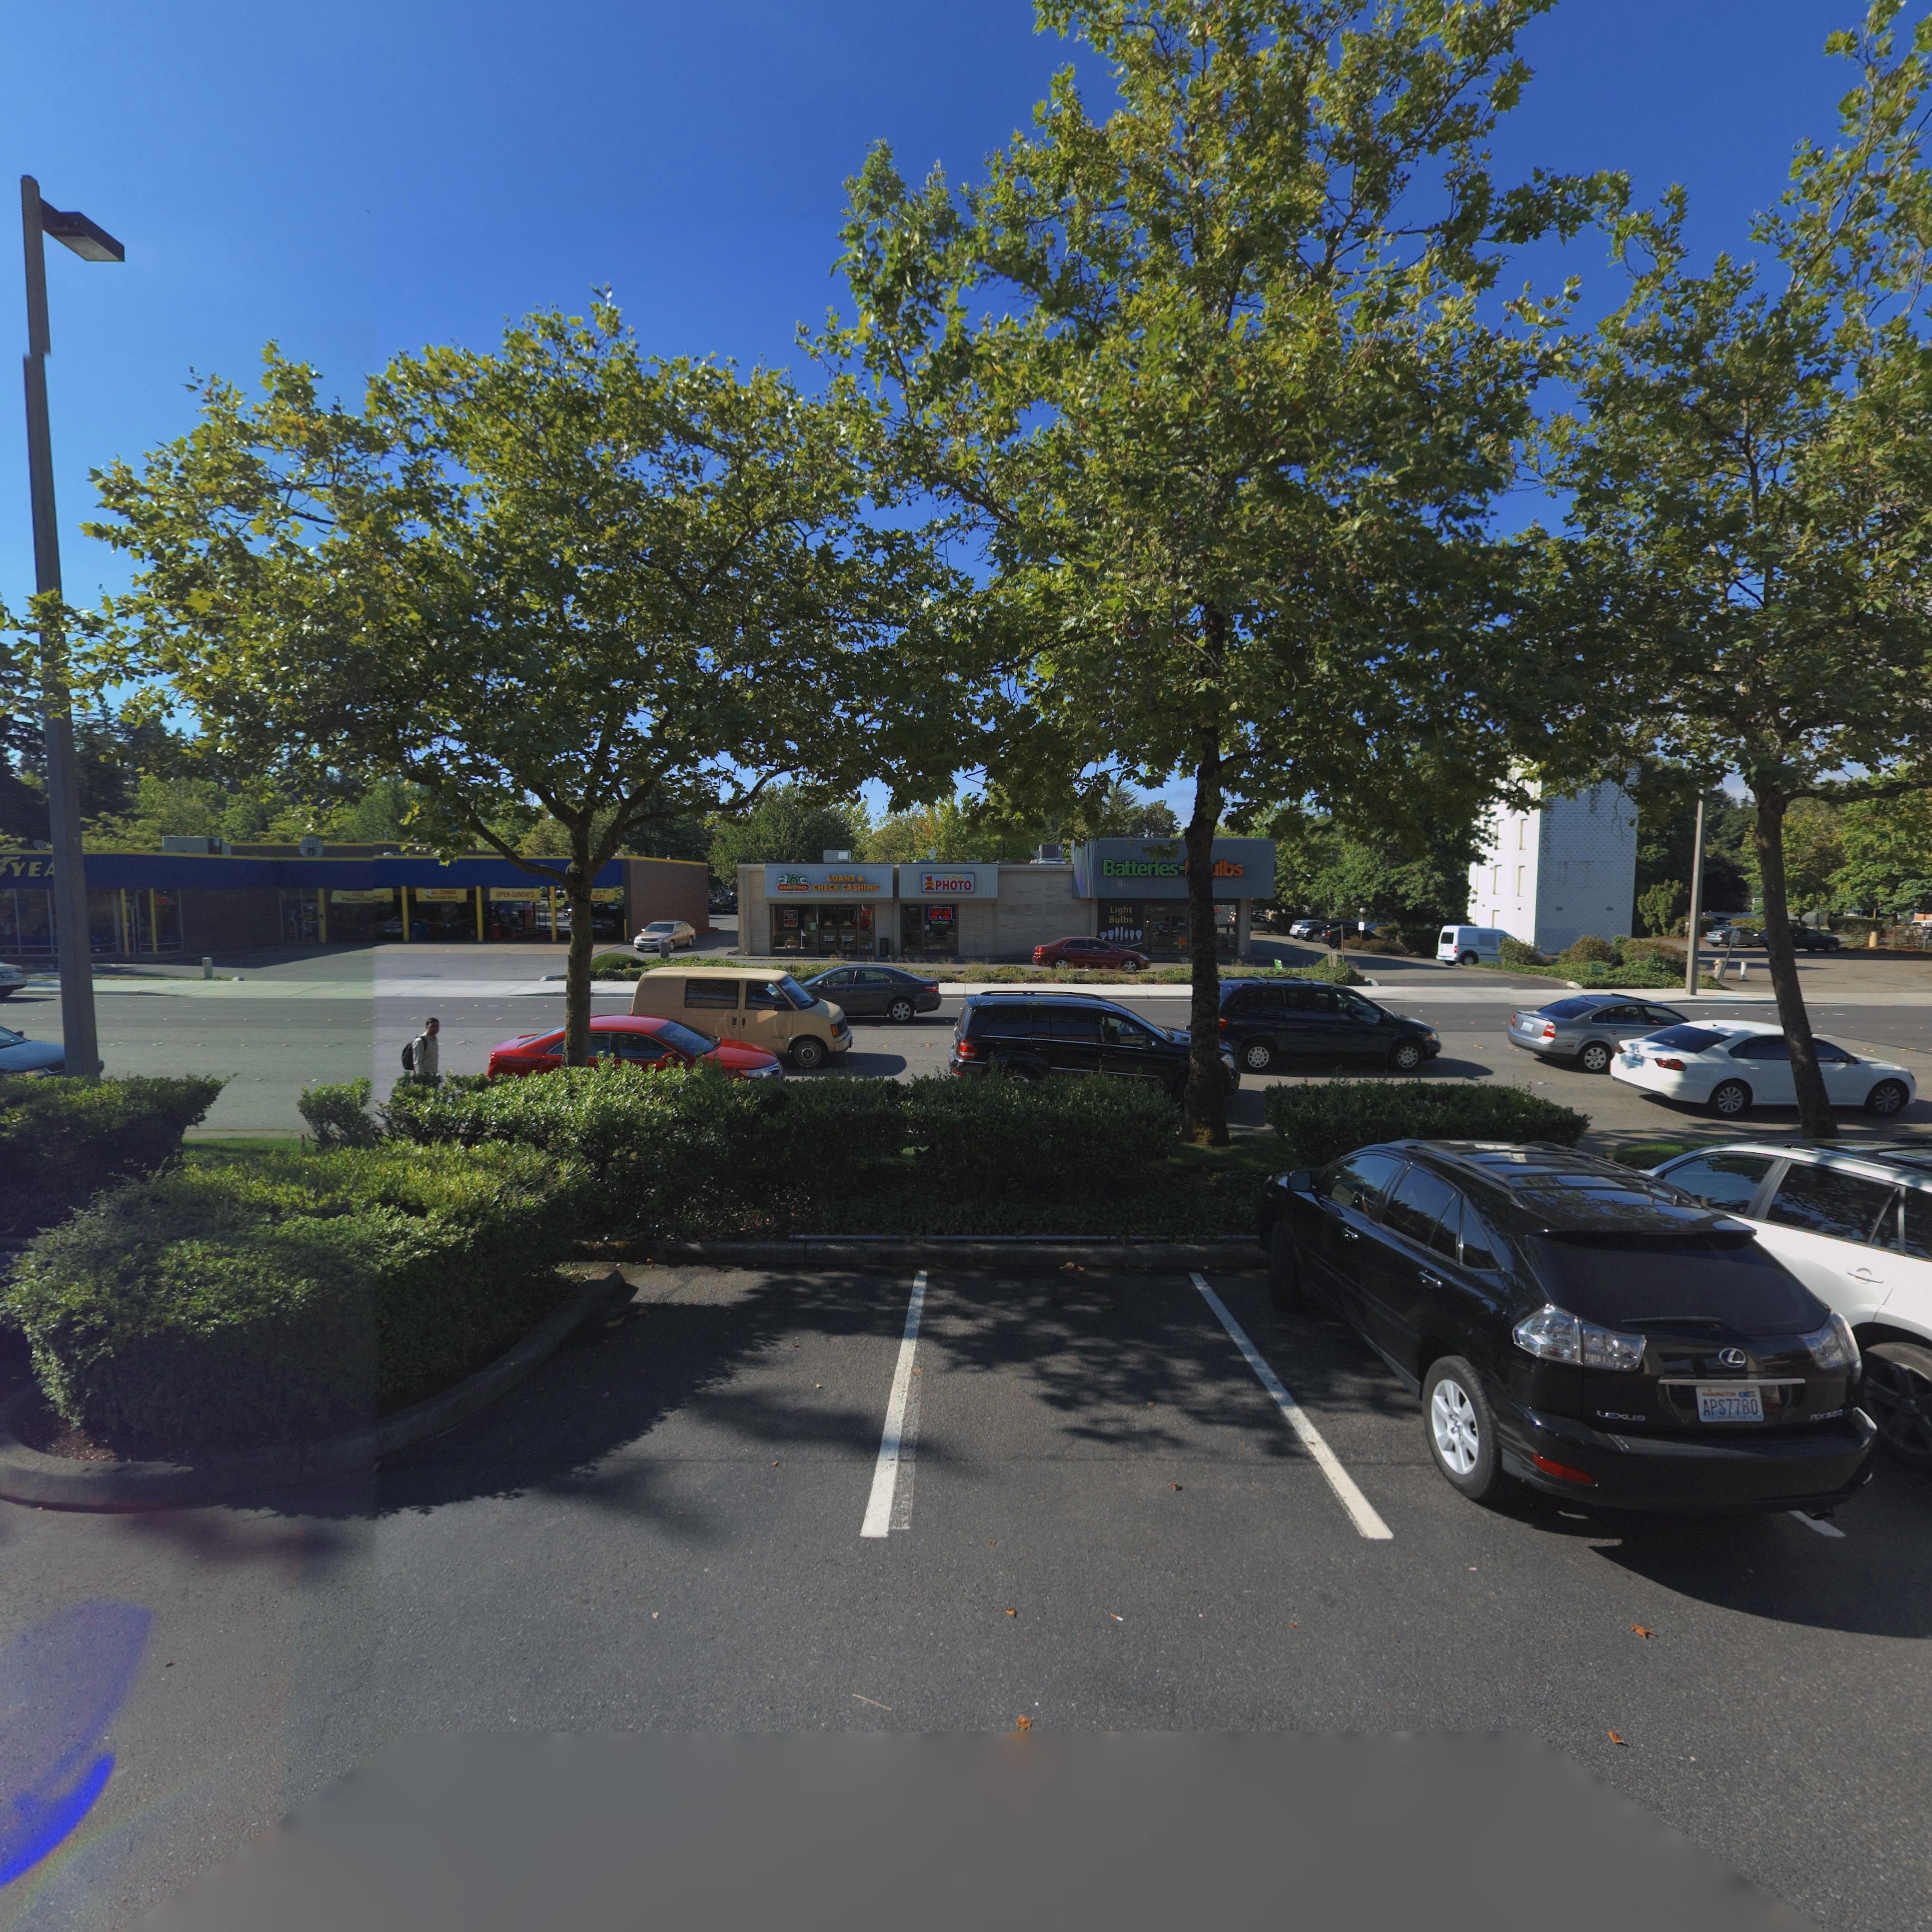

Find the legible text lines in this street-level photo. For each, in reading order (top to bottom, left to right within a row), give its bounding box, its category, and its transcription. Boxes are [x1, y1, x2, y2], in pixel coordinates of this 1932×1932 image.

[10, 861, 54, 876] BusinessName: YE*
[1103, 860, 1178, 876] BusinessName: Batteries
[1211, 860, 1243, 876] BusinessName: *lbs
[825, 872, 865, 882] BusinessName: LOANS
[812, 884, 879, 890] BusinessName: CHECK CASHING
[925, 876, 934, 889] BusinessName: 1
[936, 880, 970, 889] BusinessName: PHOTO
[944, 875, 963, 879] BusinessName: ALPHA